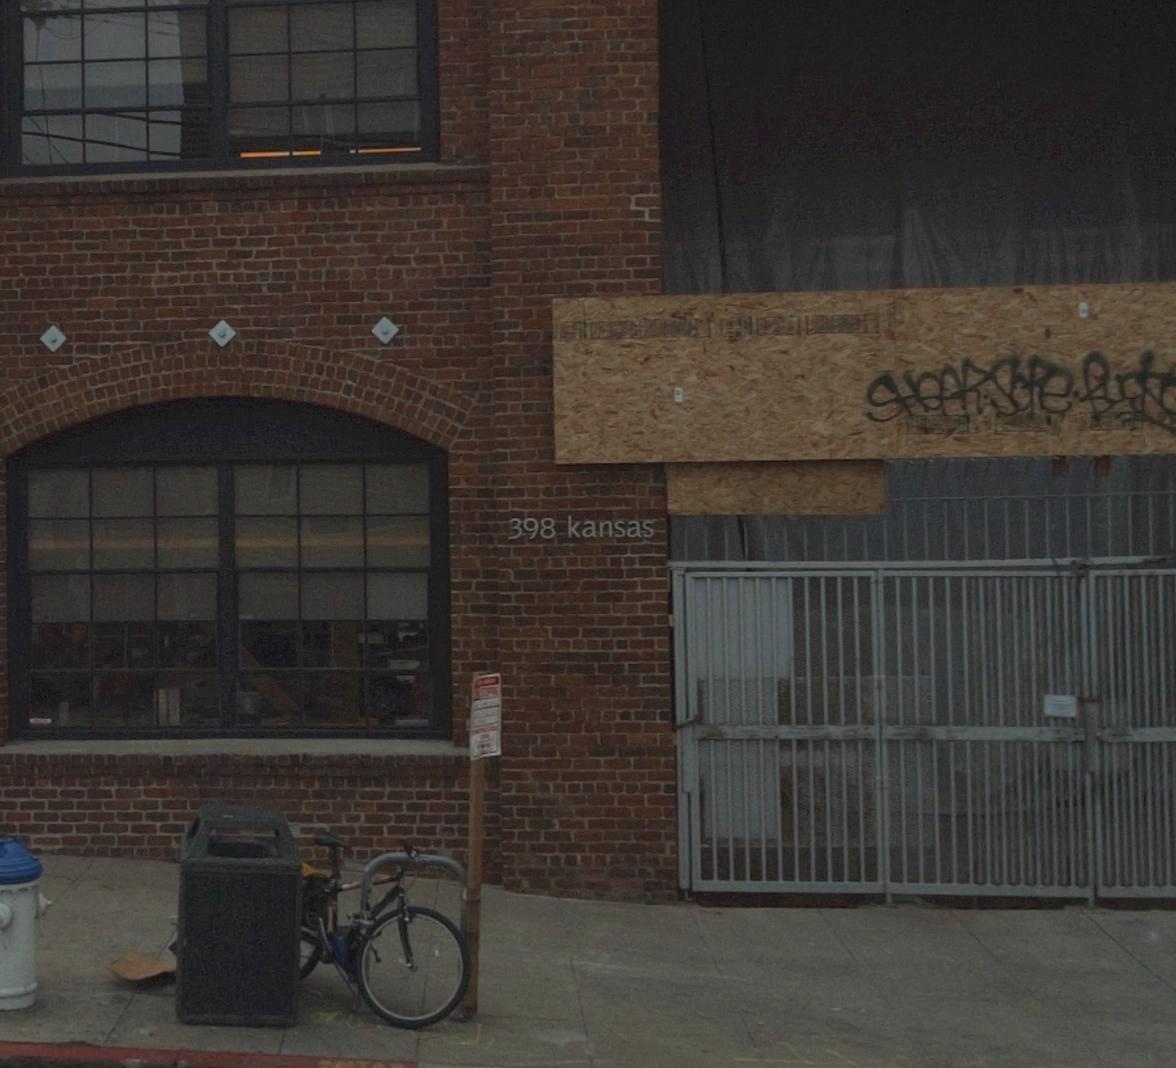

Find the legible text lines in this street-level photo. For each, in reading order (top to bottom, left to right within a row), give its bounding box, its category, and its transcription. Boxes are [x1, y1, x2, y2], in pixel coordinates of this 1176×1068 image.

[863, 348, 1175, 432] None: SHeARSOReBUr*
[507, 515, 556, 540] StreetNumber: 398
[567, 512, 653, 540] StreetName: kansas